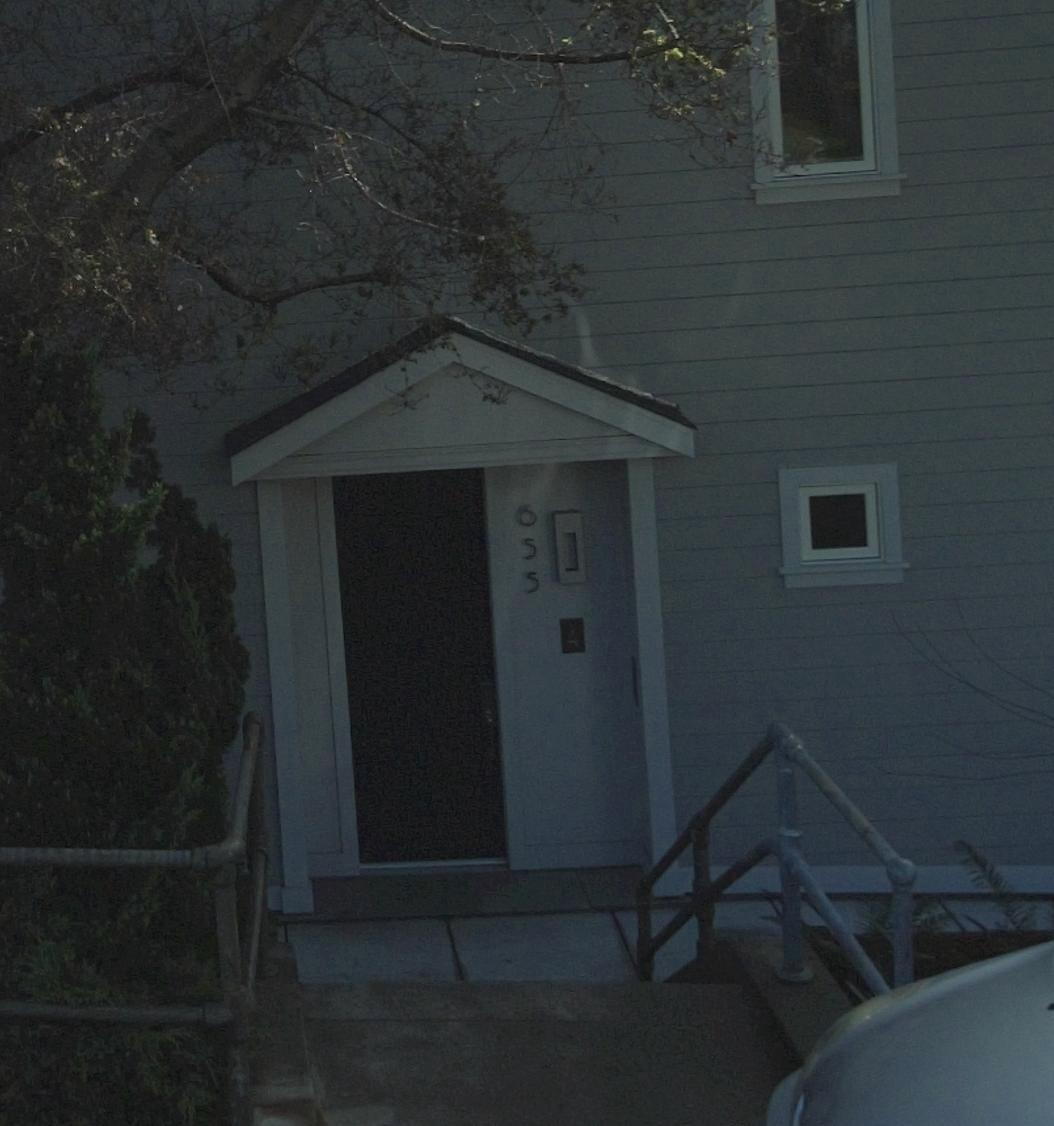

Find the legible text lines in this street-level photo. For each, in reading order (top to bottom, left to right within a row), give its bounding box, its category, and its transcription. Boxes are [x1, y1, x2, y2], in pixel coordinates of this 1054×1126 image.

[517, 501, 541, 594] StreetNumber: 655